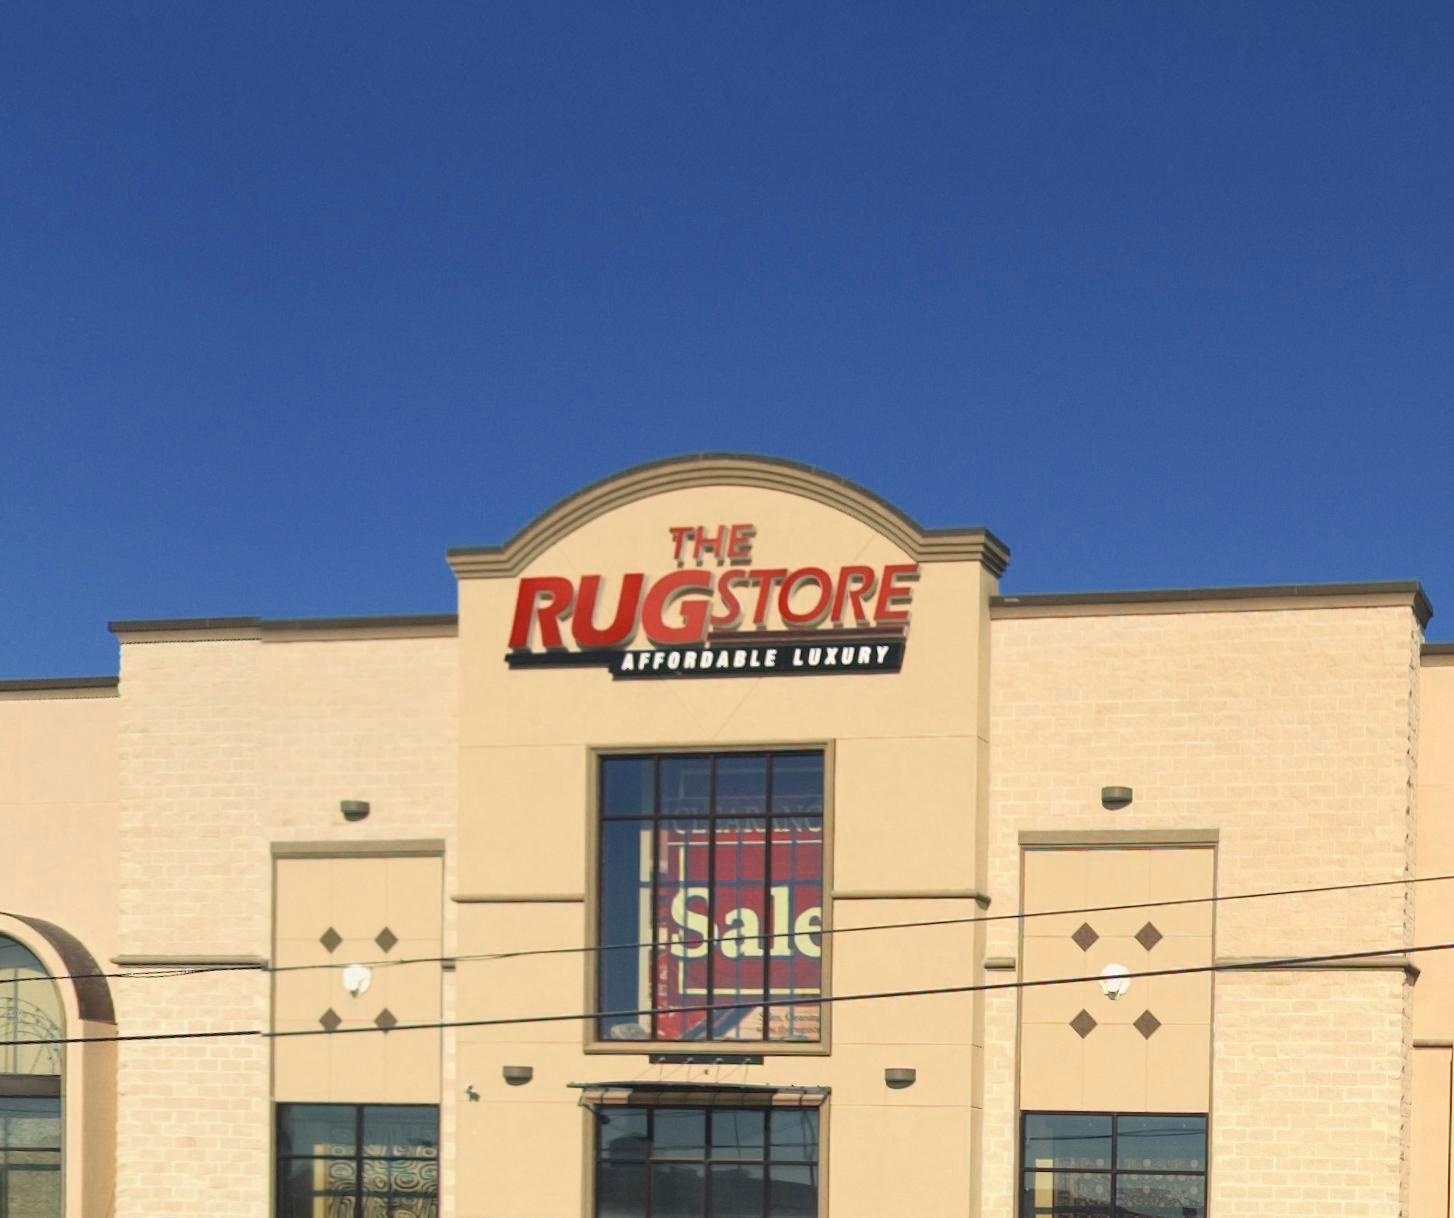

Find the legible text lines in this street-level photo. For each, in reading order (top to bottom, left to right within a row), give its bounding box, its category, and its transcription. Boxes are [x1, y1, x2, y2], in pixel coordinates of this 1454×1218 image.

[664, 519, 759, 567] BusinessName: THE
[500, 558, 926, 654] BusinessName: RUG STORE
[616, 642, 896, 674] None: AFFORDABLE LUXURY